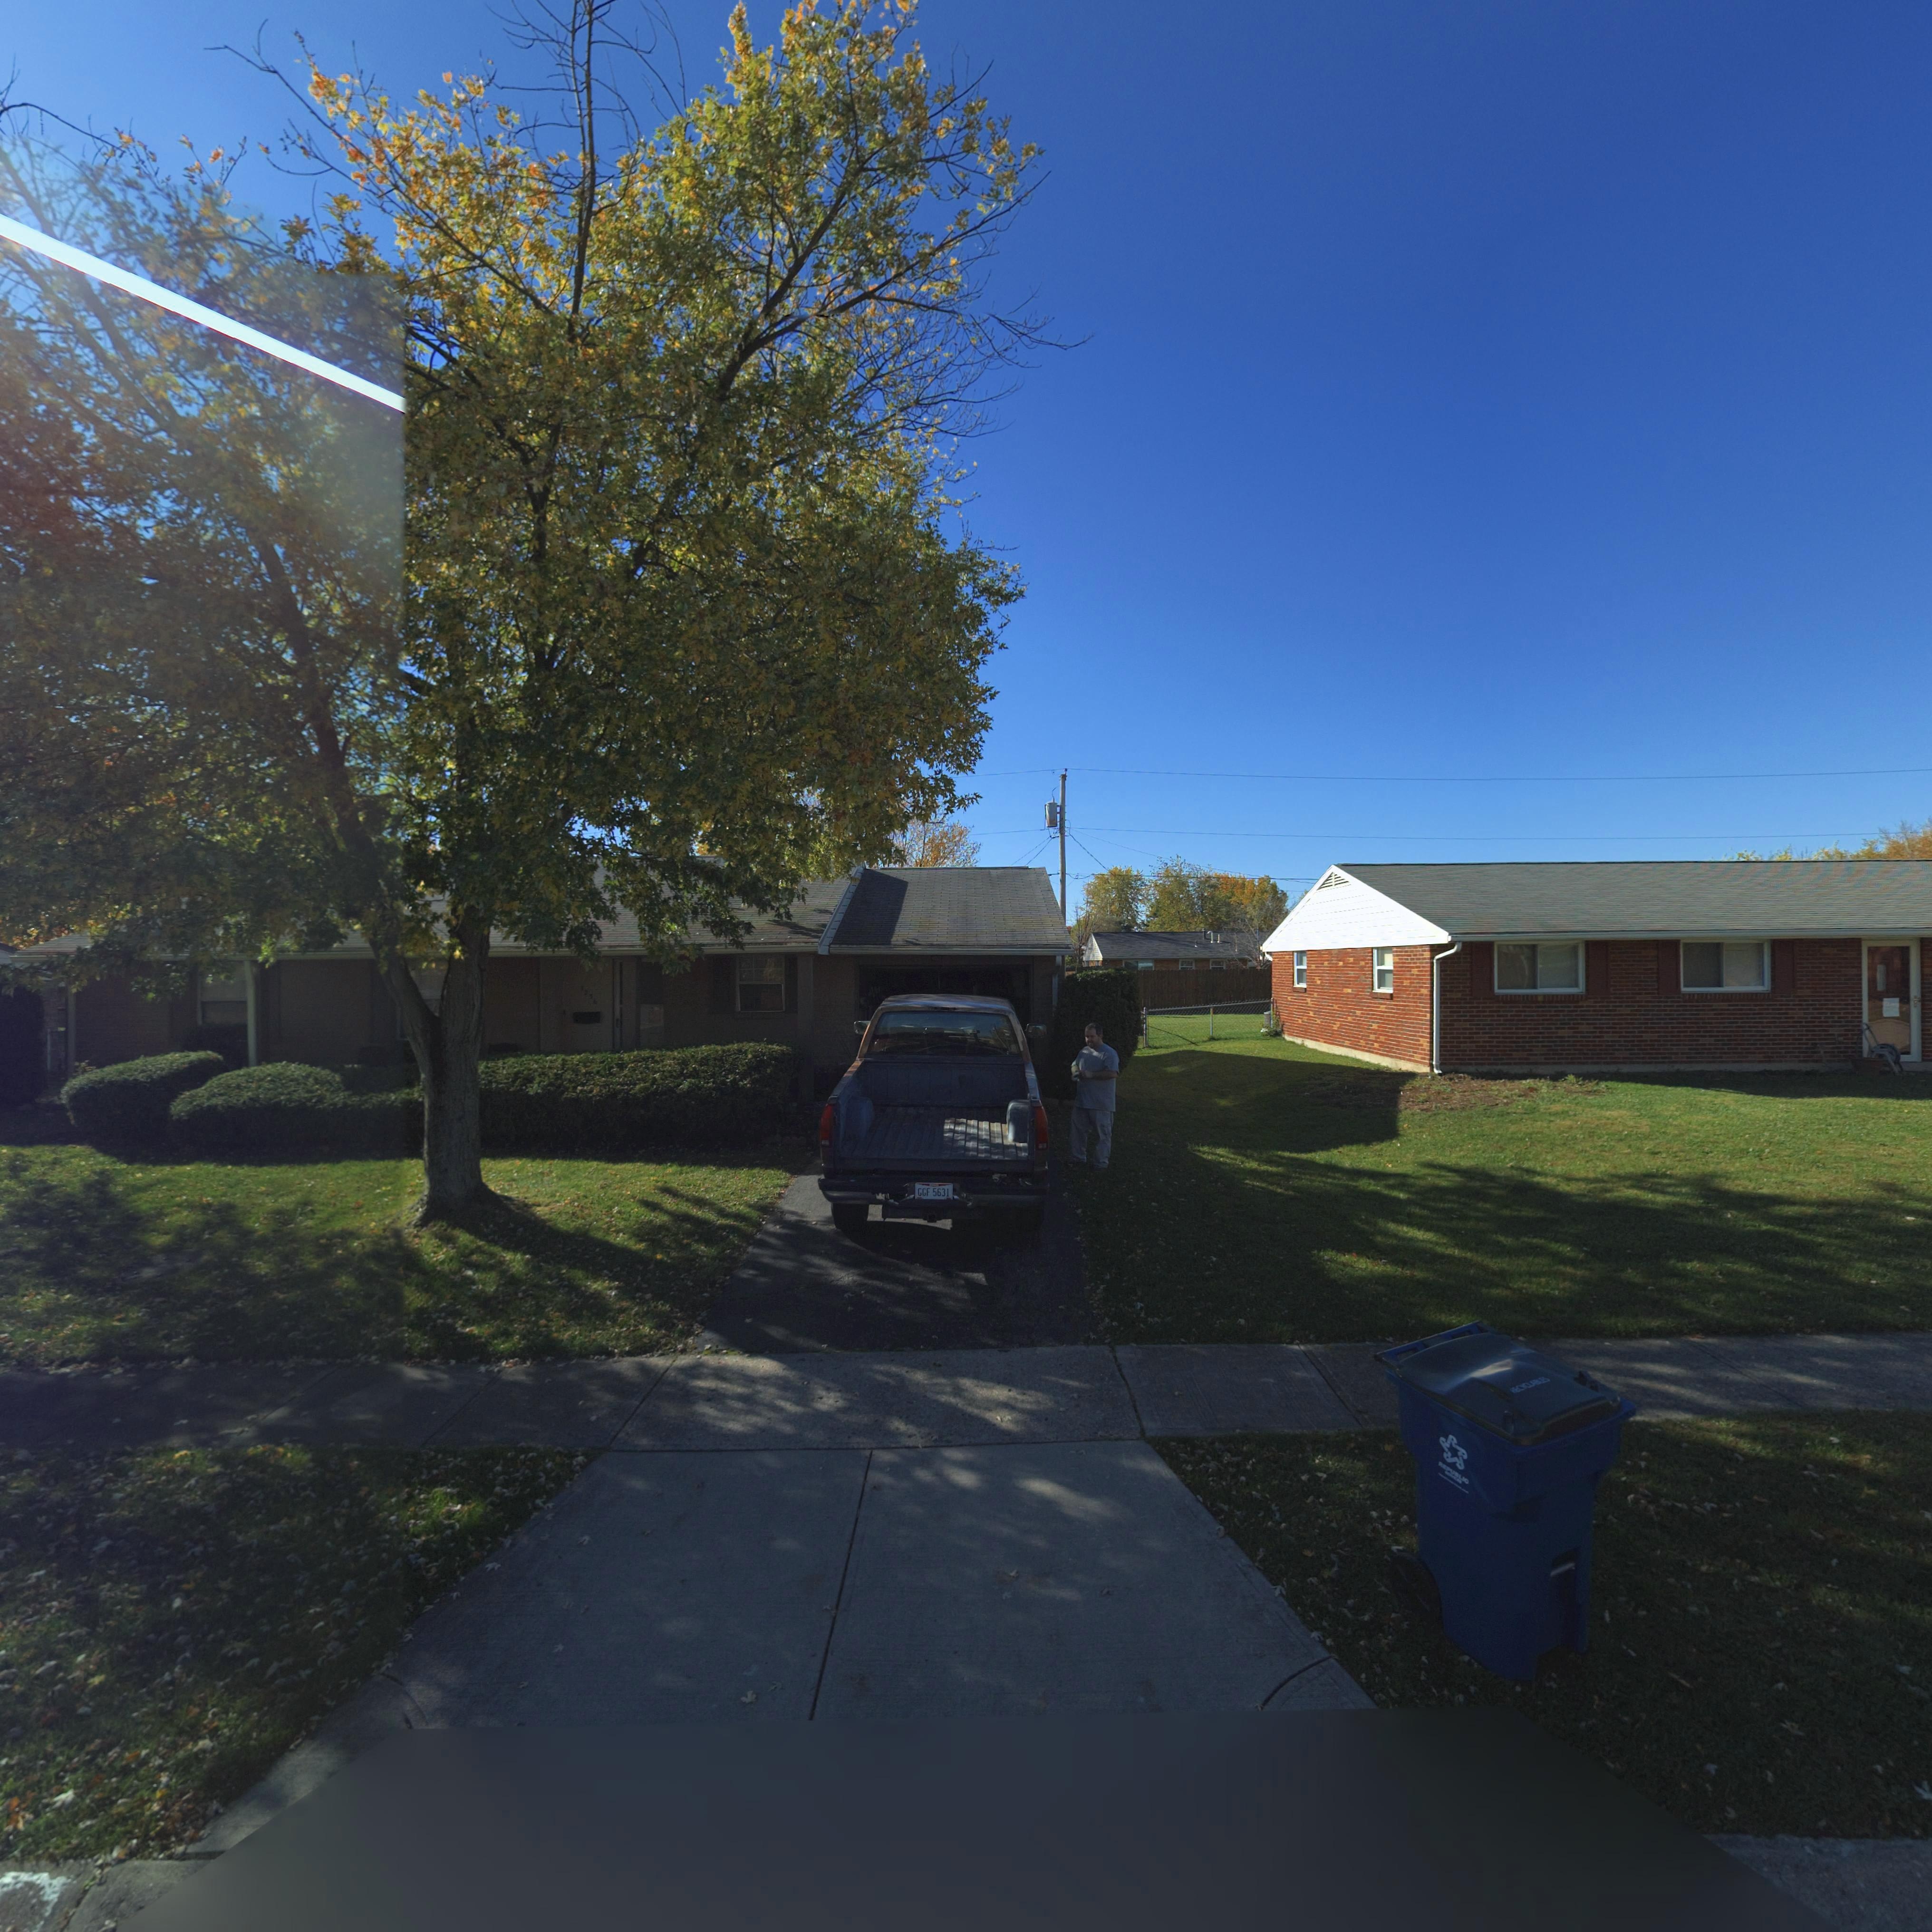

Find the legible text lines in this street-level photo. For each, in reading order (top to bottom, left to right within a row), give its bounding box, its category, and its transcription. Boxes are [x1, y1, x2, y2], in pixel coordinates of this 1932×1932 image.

[579, 984, 599, 1005] StreetNumber: 72*6